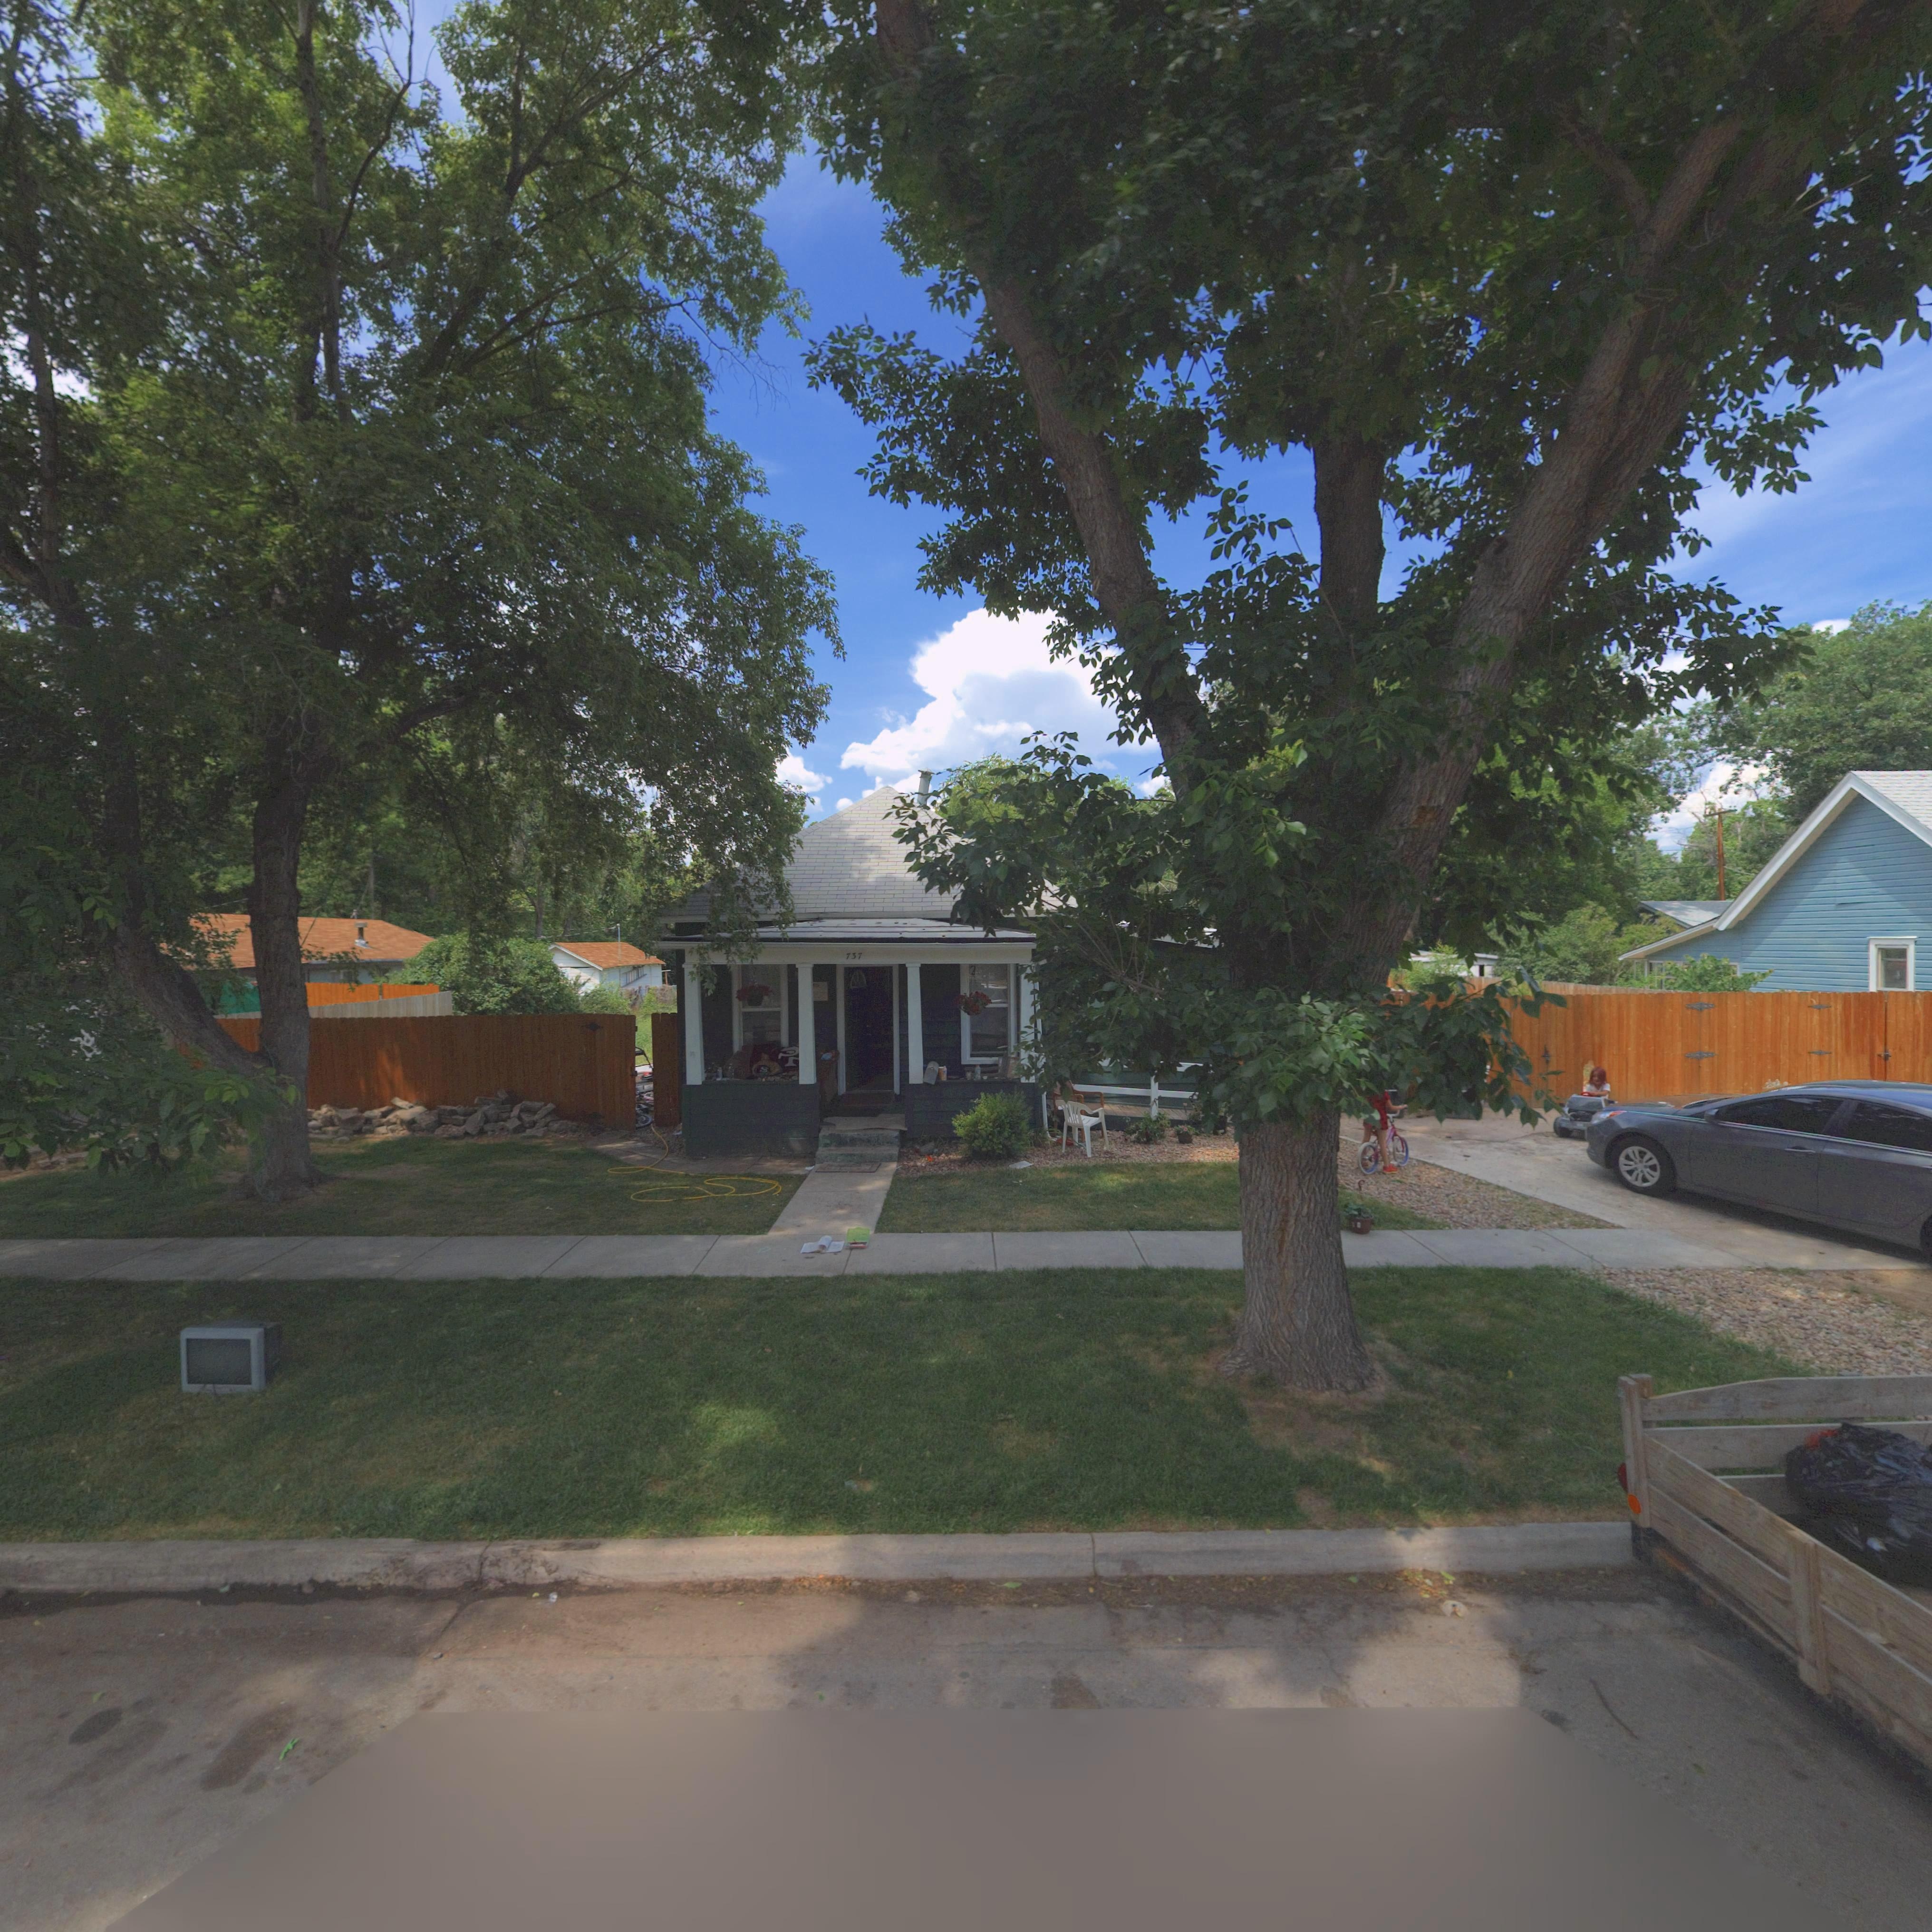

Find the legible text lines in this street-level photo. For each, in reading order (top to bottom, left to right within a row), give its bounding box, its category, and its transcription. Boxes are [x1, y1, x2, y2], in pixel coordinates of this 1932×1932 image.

[846, 952, 863, 960] StreetNumber: 737